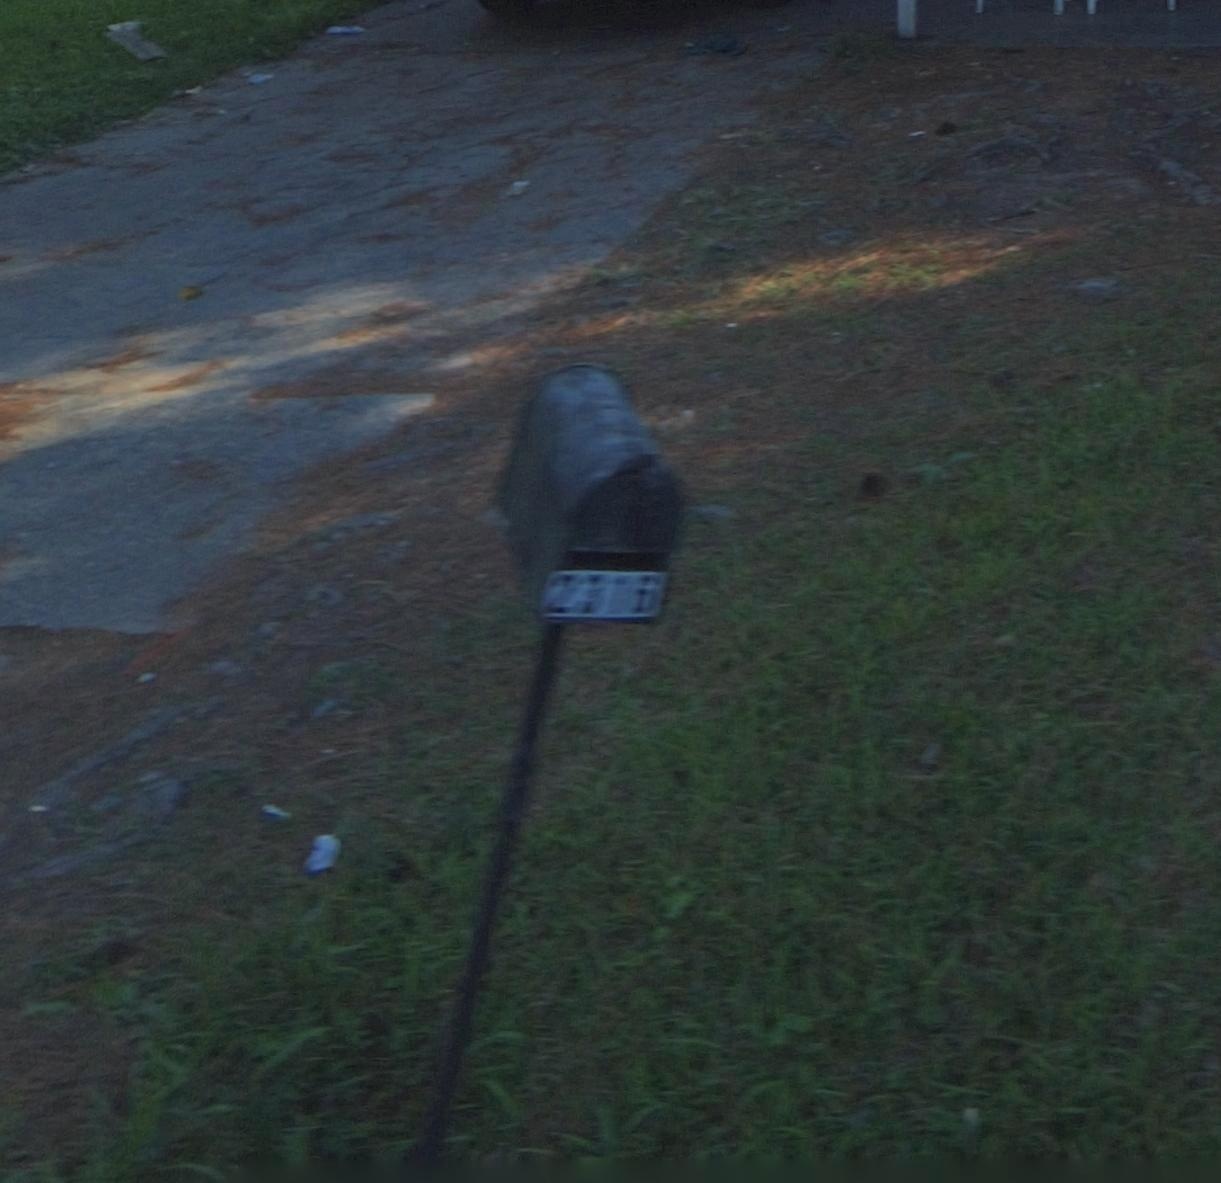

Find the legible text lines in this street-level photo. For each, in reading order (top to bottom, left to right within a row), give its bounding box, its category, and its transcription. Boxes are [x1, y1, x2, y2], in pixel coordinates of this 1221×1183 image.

[543, 571, 662, 618] StreetNumber: 23*6